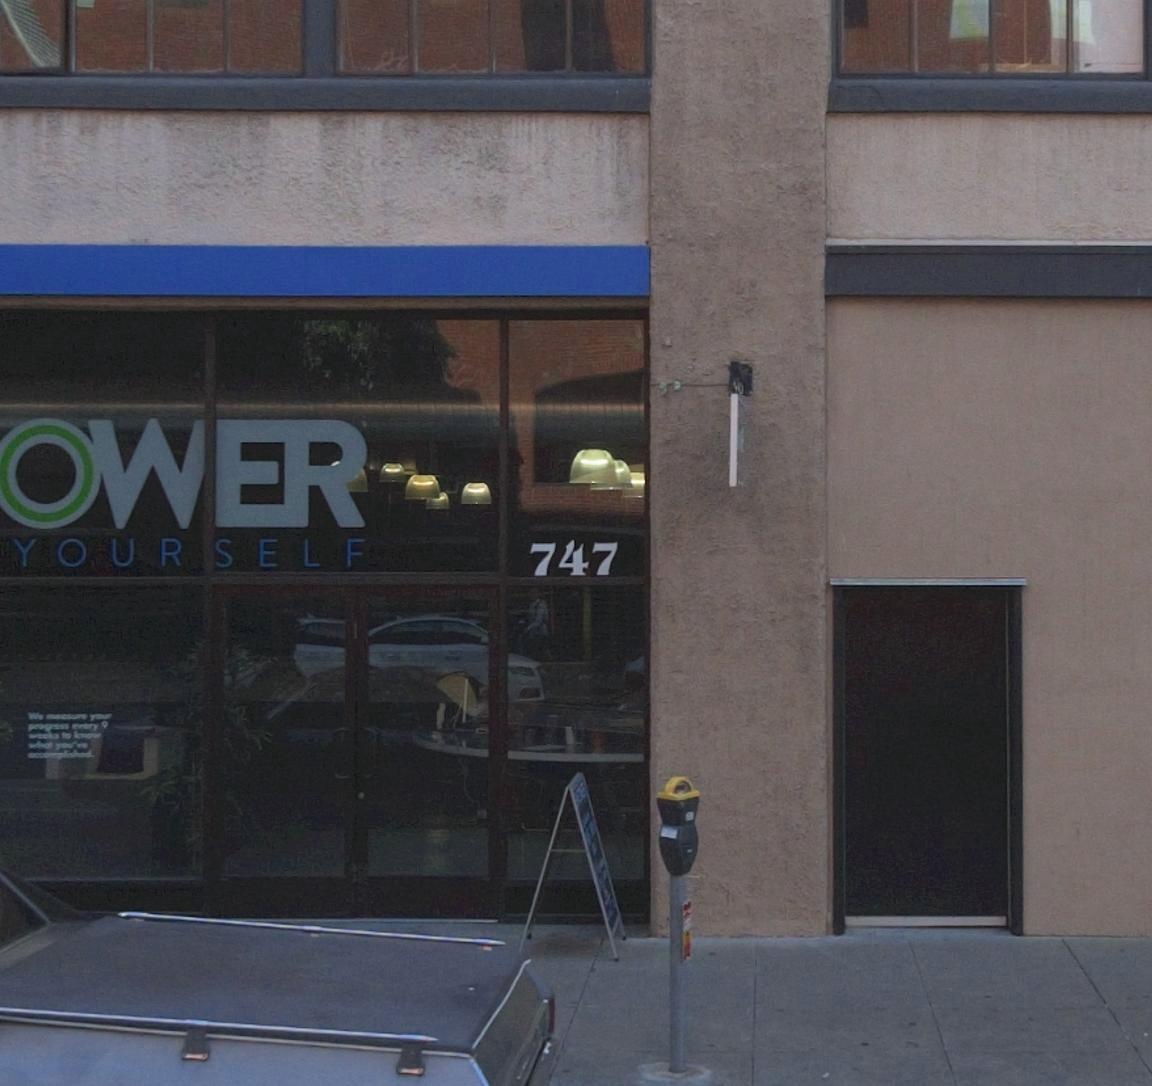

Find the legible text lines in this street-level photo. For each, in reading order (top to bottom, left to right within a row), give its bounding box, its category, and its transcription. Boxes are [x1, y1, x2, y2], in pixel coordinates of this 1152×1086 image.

[84, 414, 369, 532] BusinessName: WER
[8, 536, 369, 571] None: YOURSEFL
[525, 537, 618, 579] StreetNumber: 747